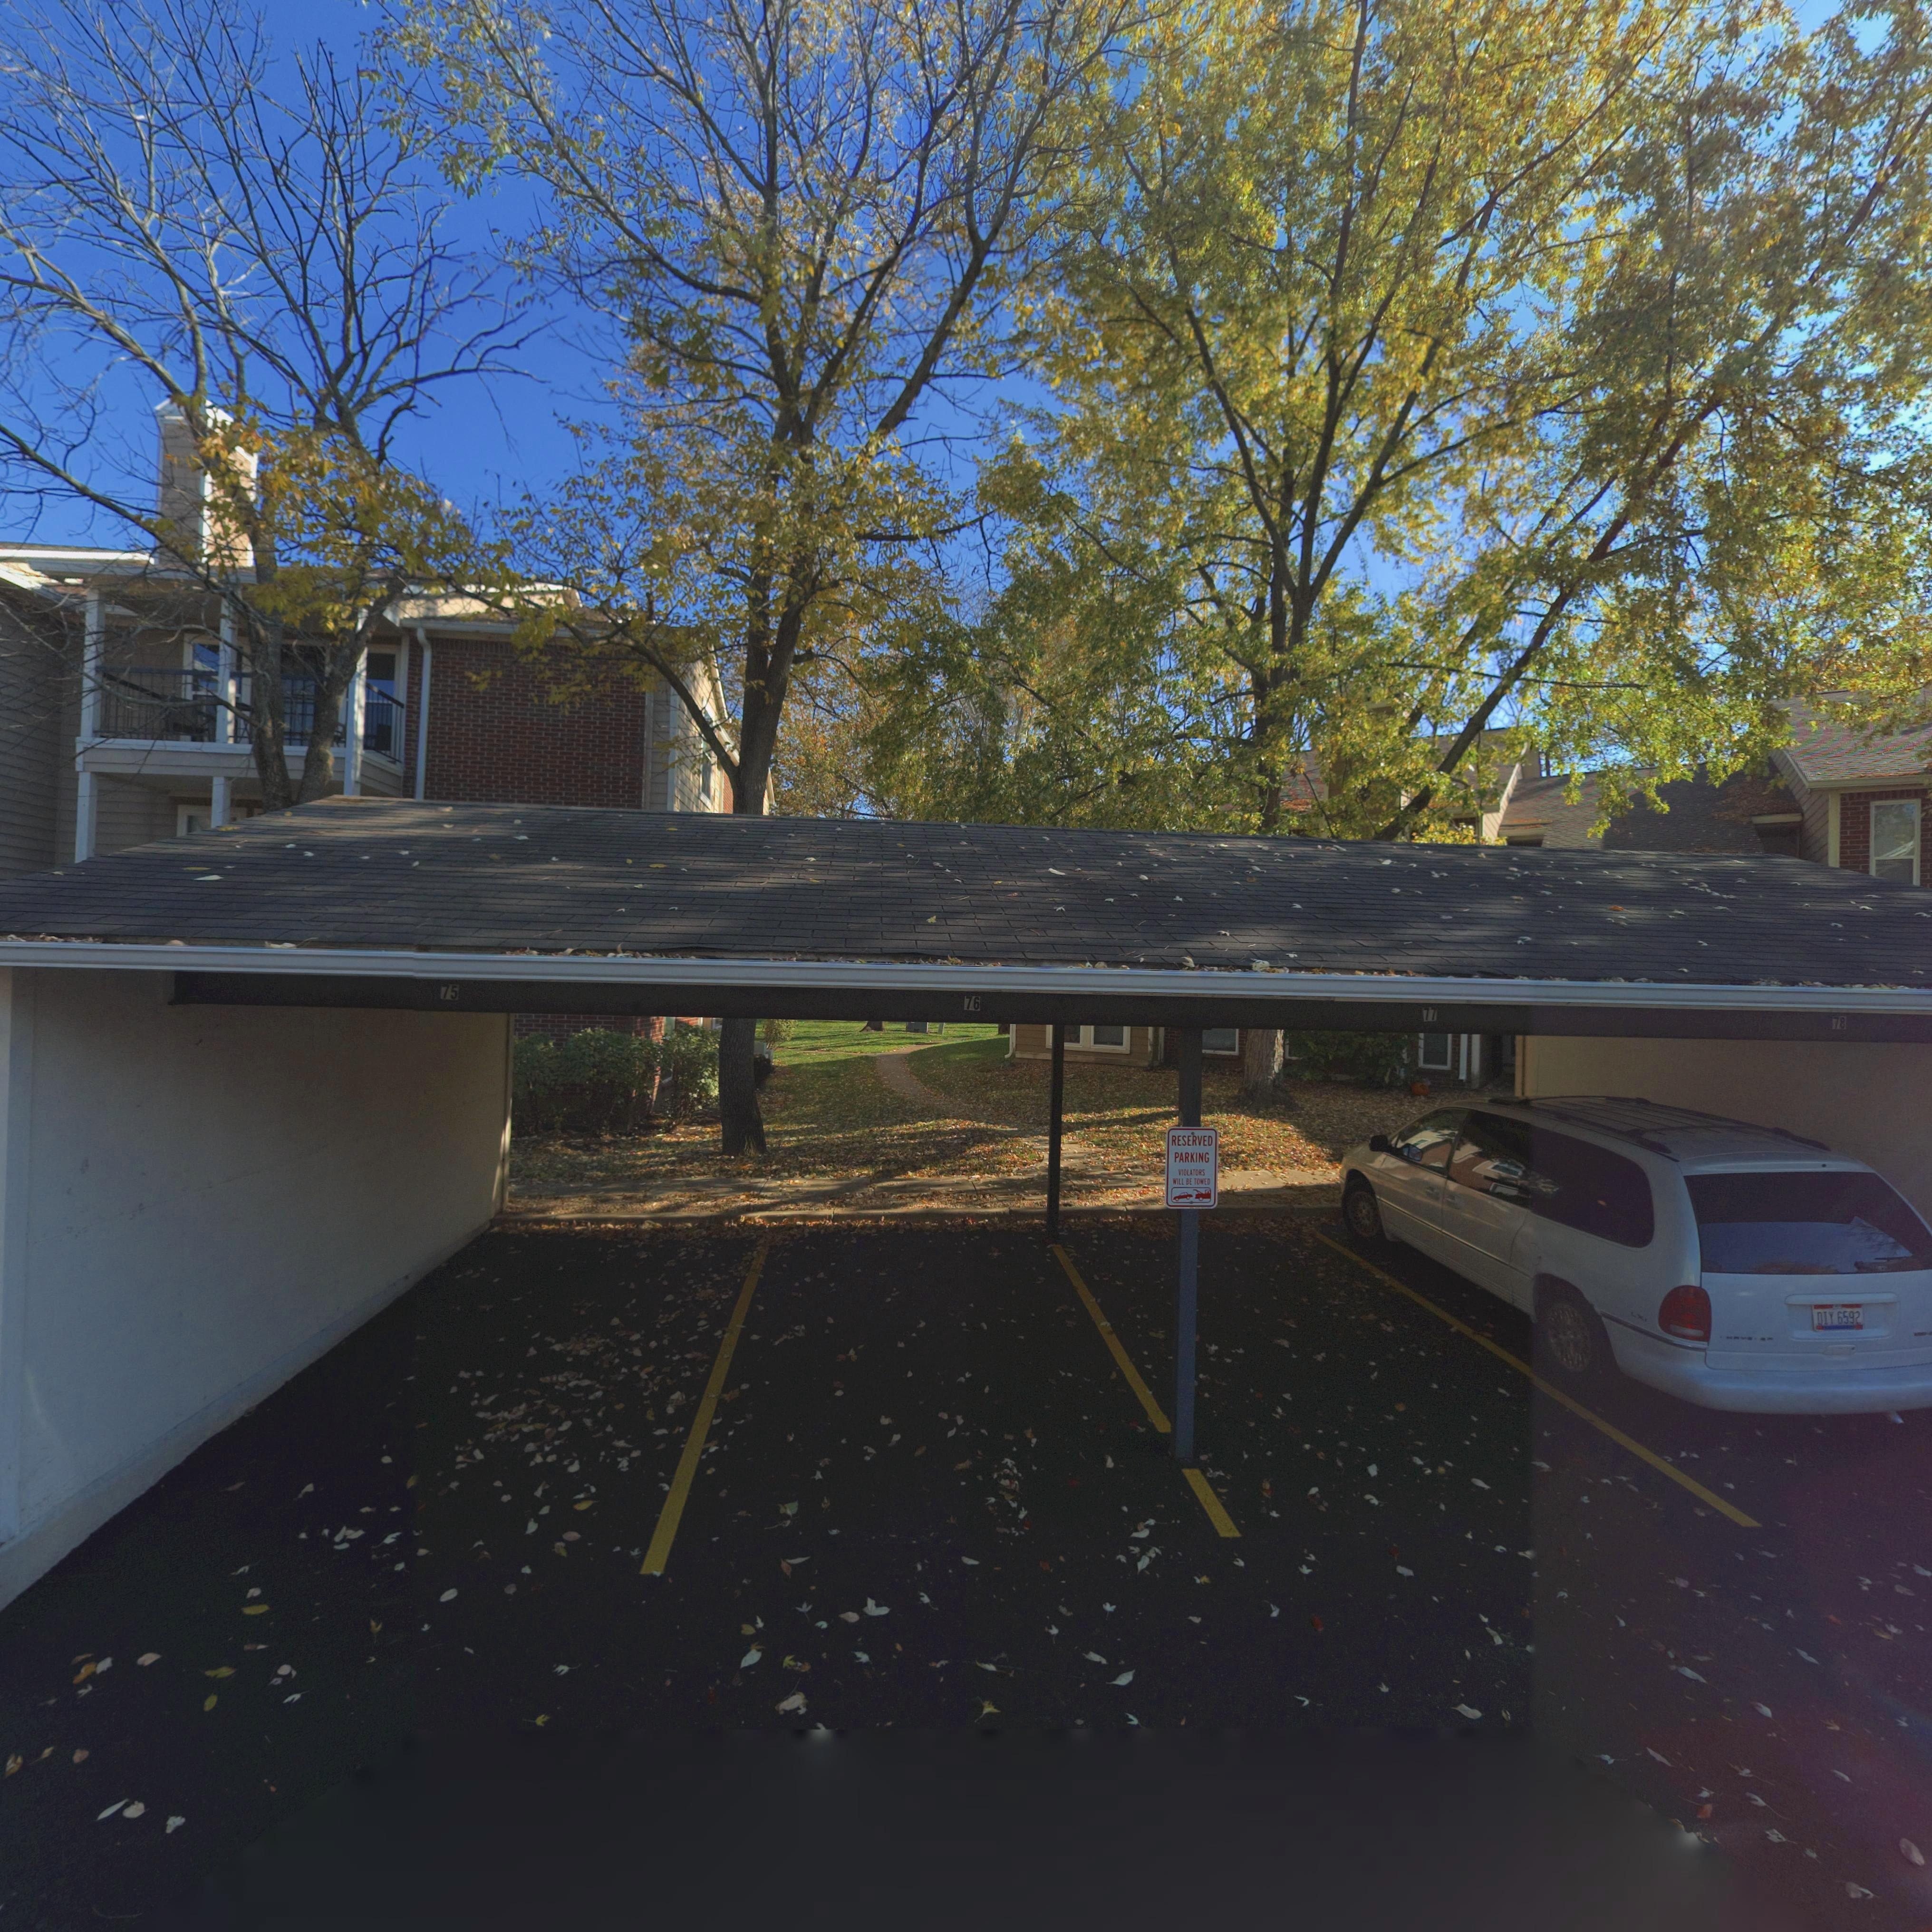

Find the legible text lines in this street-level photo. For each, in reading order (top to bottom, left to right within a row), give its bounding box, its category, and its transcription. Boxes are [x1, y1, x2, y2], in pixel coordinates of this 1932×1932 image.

[441, 984, 459, 1001] StreetNumber: 75
[965, 995, 980, 1011] StreetNumber: 76
[1422, 1007, 1437, 1021] StreetNumber: 77
[1831, 1016, 1846, 1030] StreetNumber: 78
[1170, 1134, 1215, 1147] None: RESERVED
[1174, 1151, 1210, 1164] None: PARKING
[1177, 1168, 1207, 1177] None: VIOLATORS
[1171, 1177, 1211, 1186] None: WILL BE TOWED
[1815, 1309, 1863, 1326] None: DIY 6592